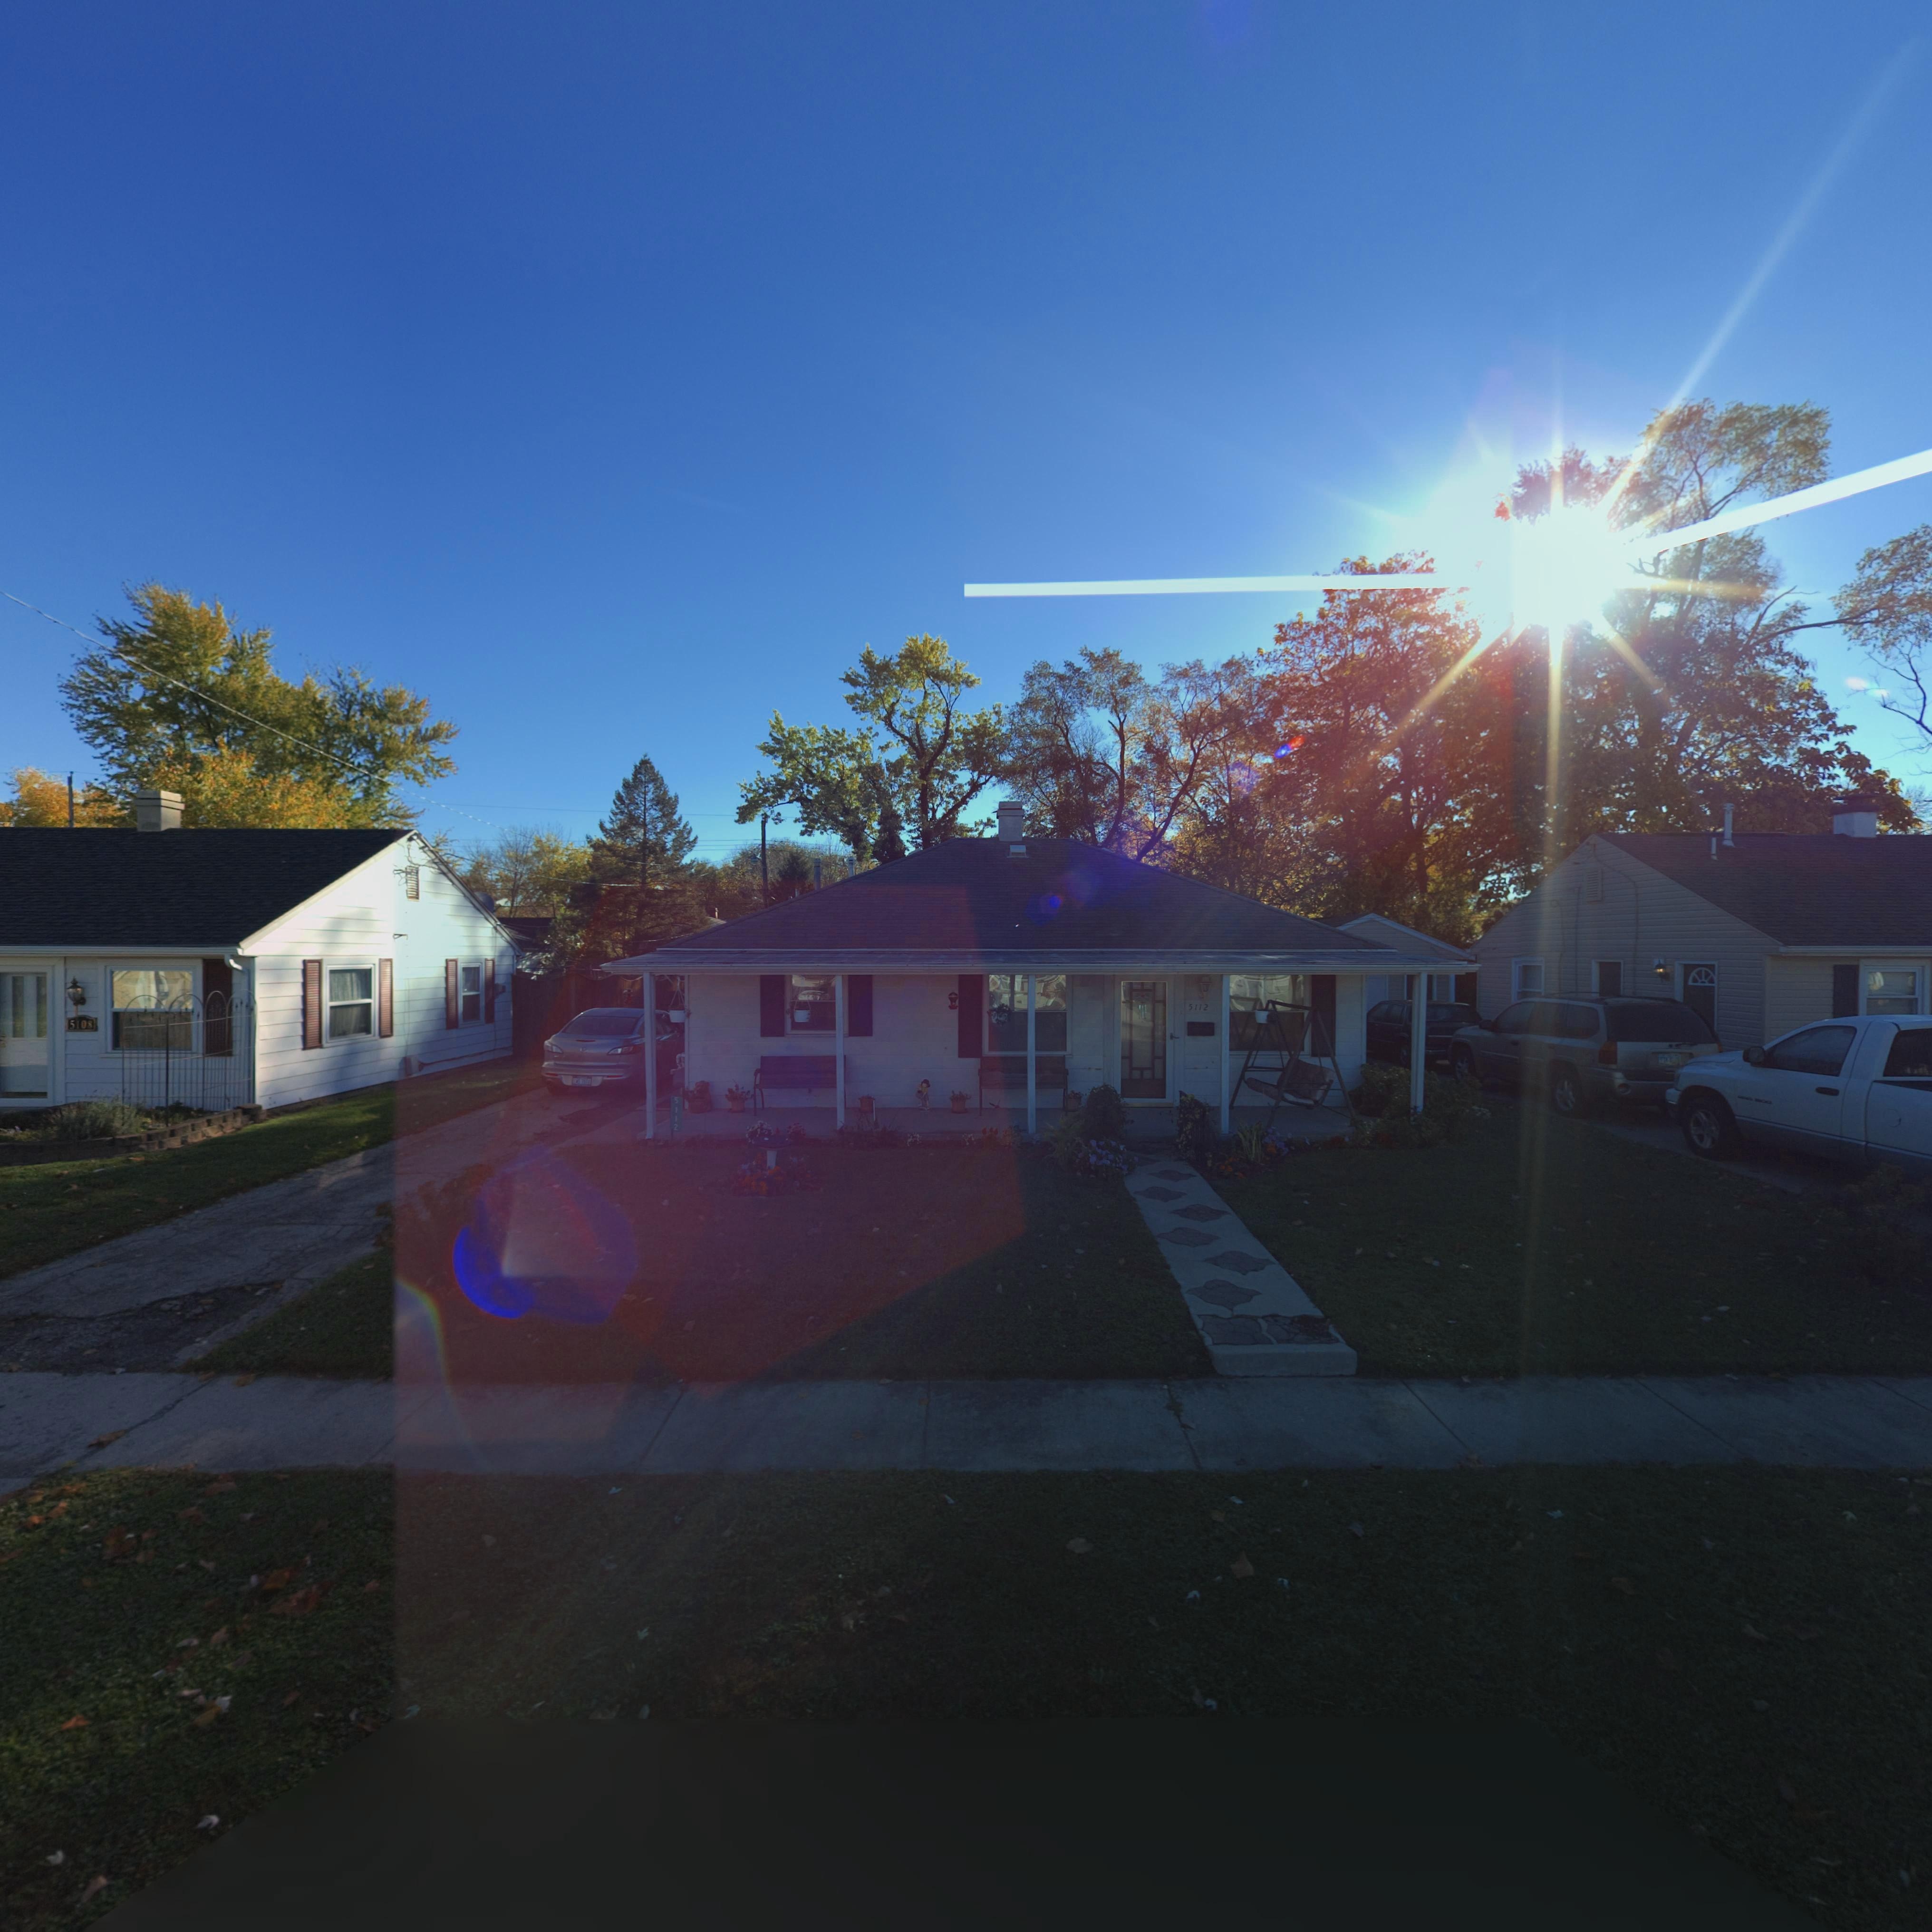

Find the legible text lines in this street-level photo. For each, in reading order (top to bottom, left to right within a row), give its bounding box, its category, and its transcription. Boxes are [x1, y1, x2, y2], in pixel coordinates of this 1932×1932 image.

[1188, 1003, 1208, 1011] StreetNumber: 5112
[69, 1019, 93, 1030] StreetNumber: 5108
[673, 1096, 679, 1131] StreetNumber: 5112